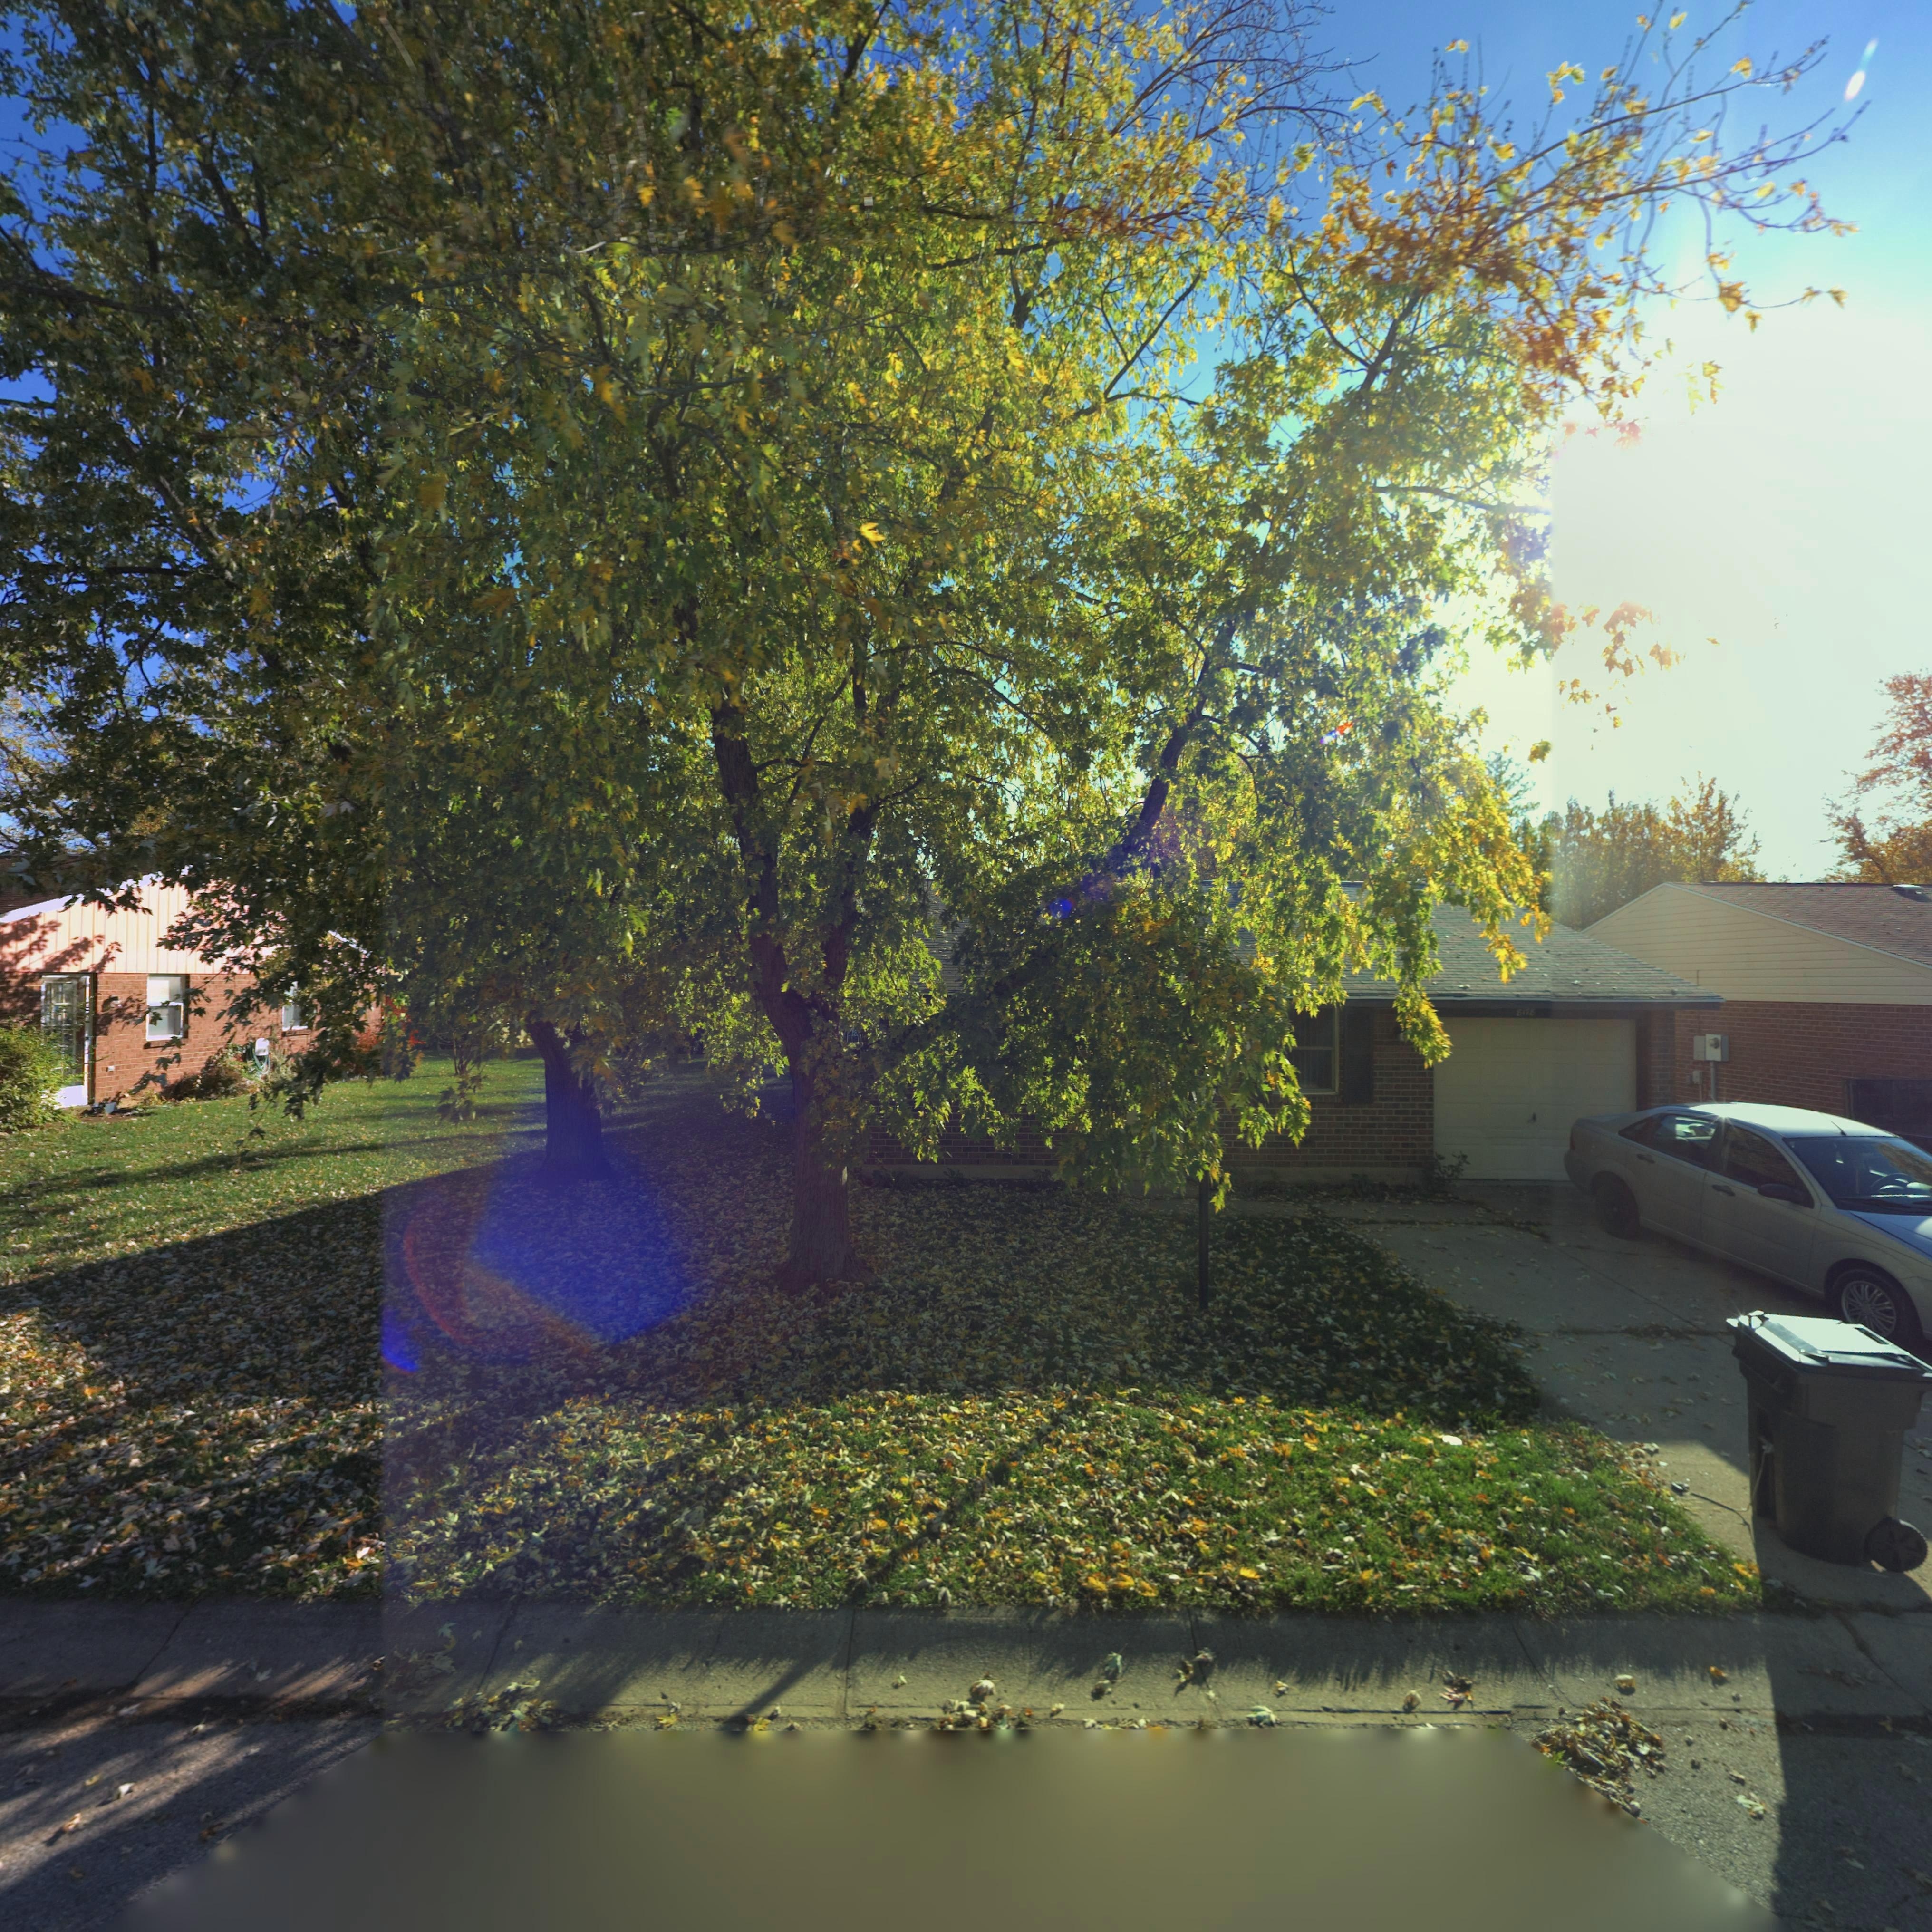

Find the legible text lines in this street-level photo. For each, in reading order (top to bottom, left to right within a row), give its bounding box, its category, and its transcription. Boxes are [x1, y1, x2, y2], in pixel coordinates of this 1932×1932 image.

[1515, 1007, 1537, 1018] StreetNumber: 8178